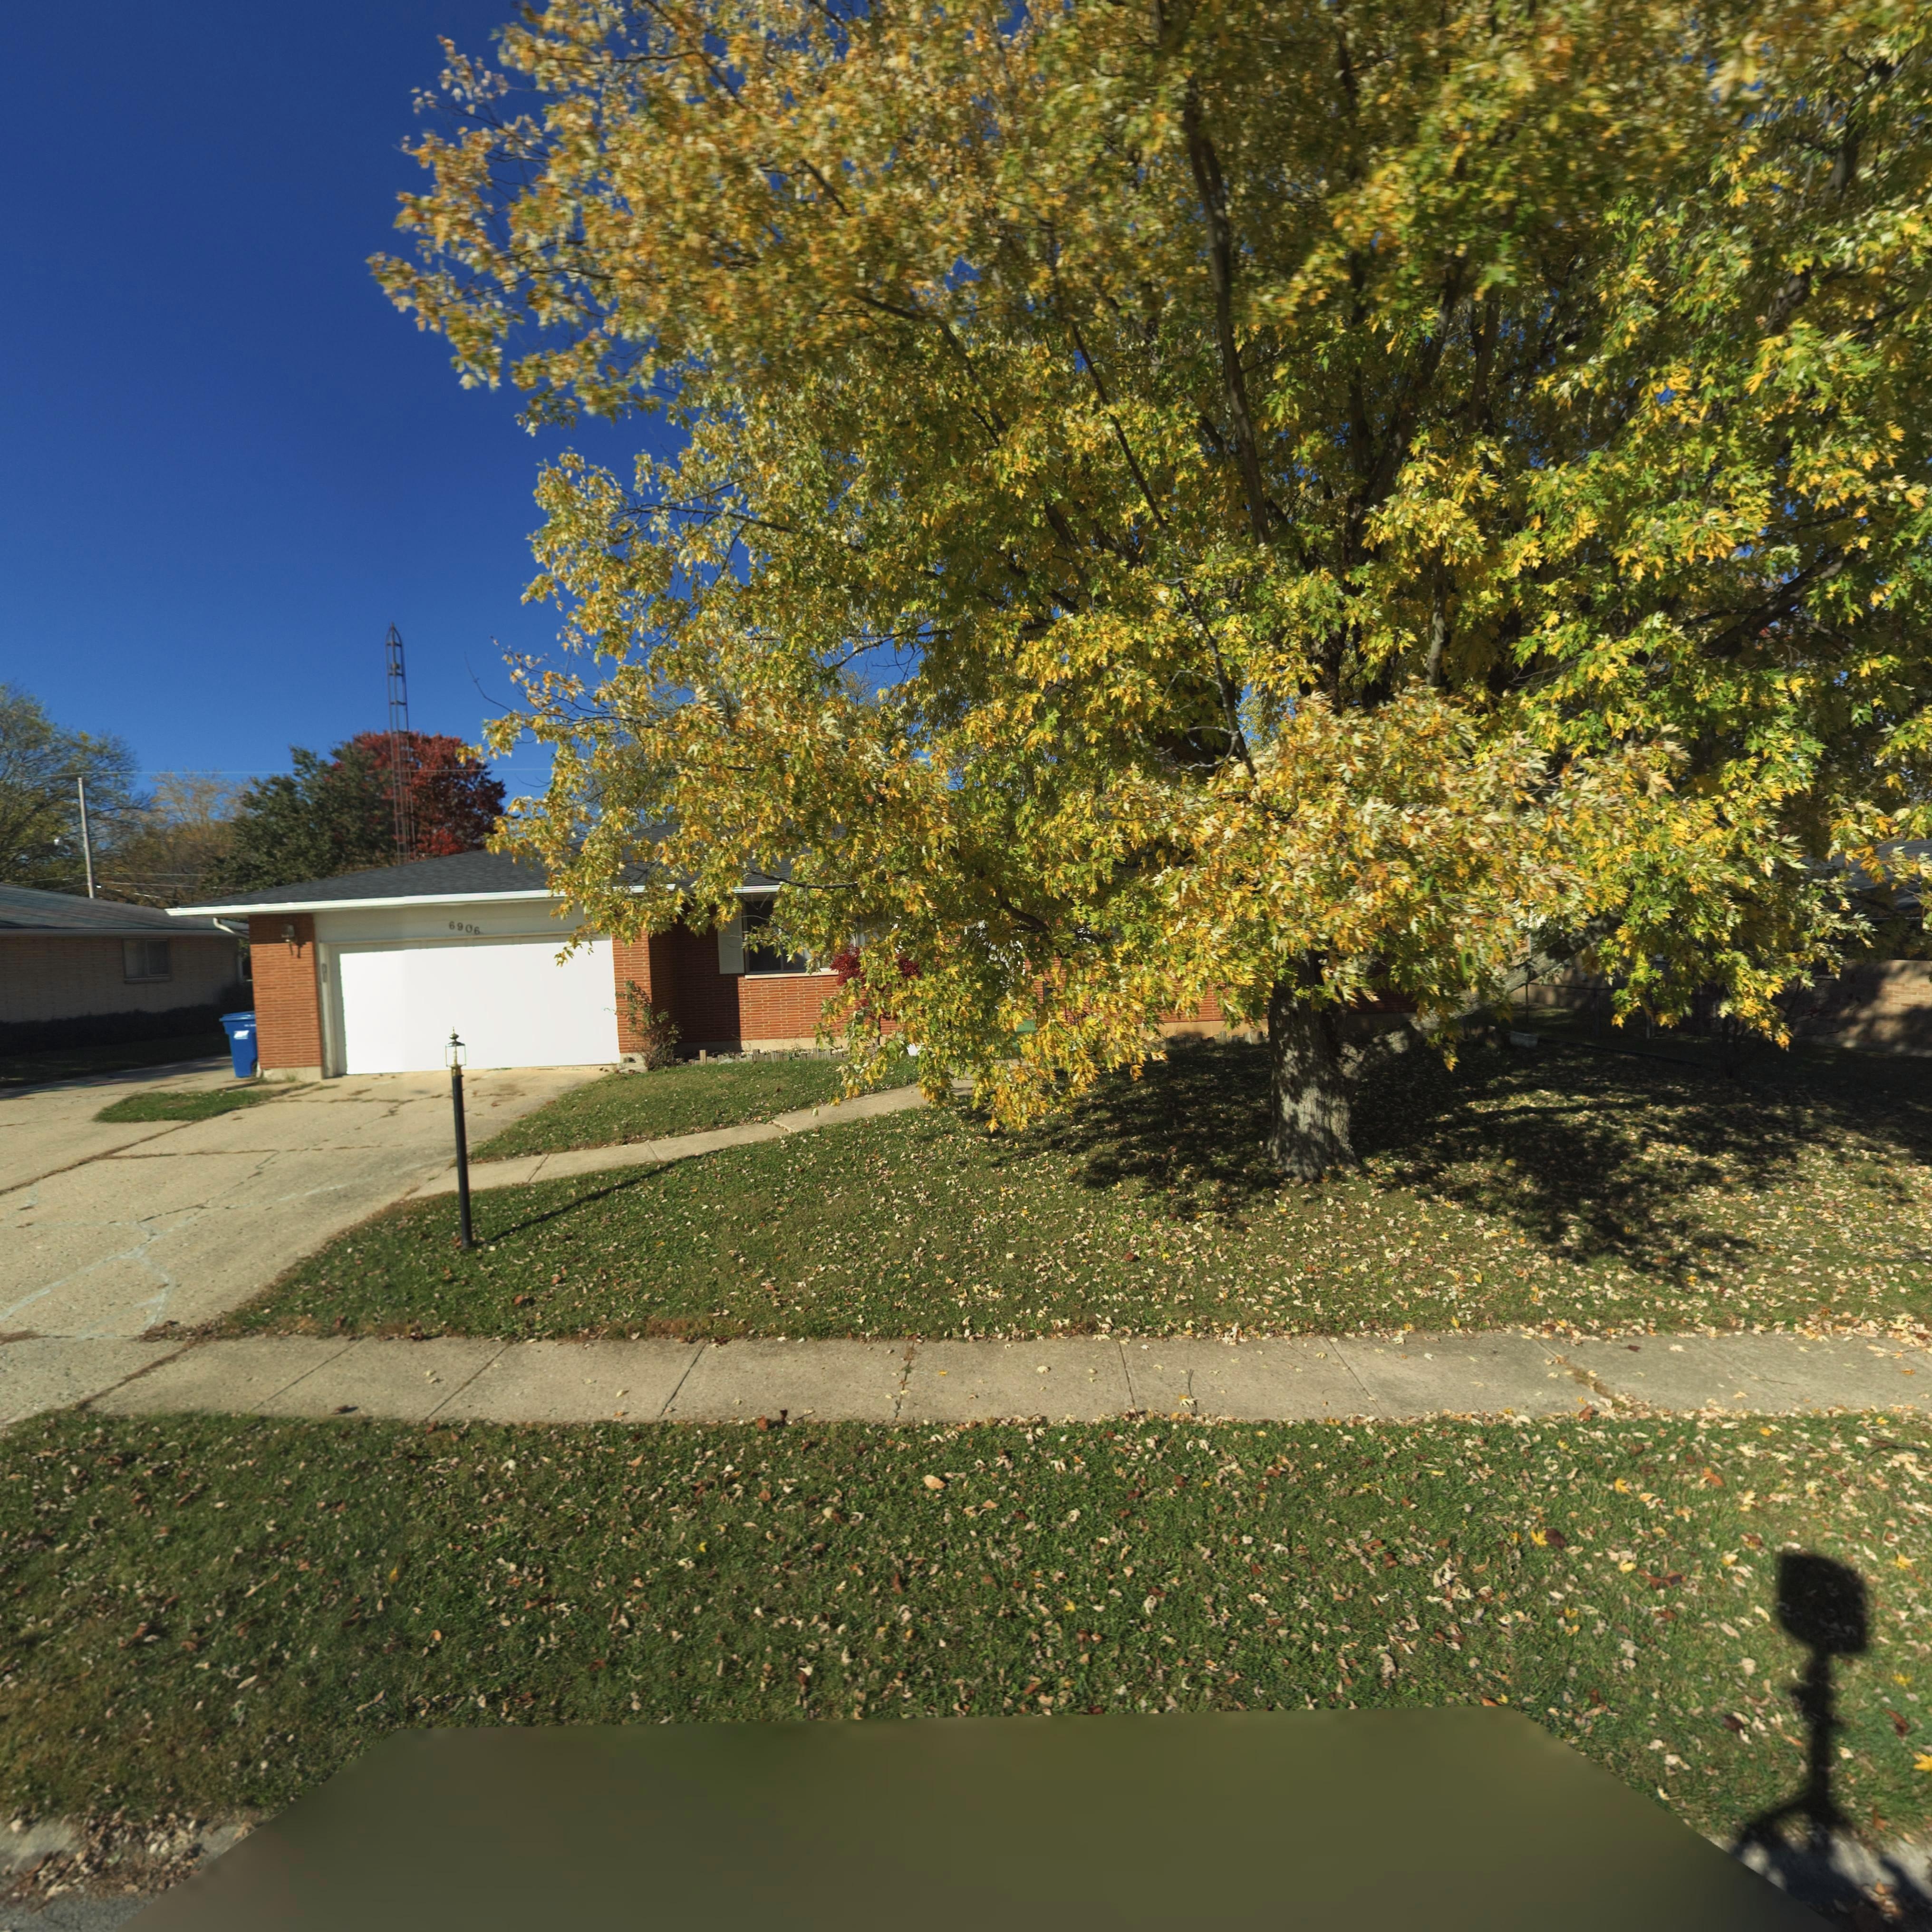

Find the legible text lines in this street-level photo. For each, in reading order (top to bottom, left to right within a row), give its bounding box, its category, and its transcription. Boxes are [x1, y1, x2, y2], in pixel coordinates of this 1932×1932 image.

[448, 920, 480, 936] StreetNumber: 6906